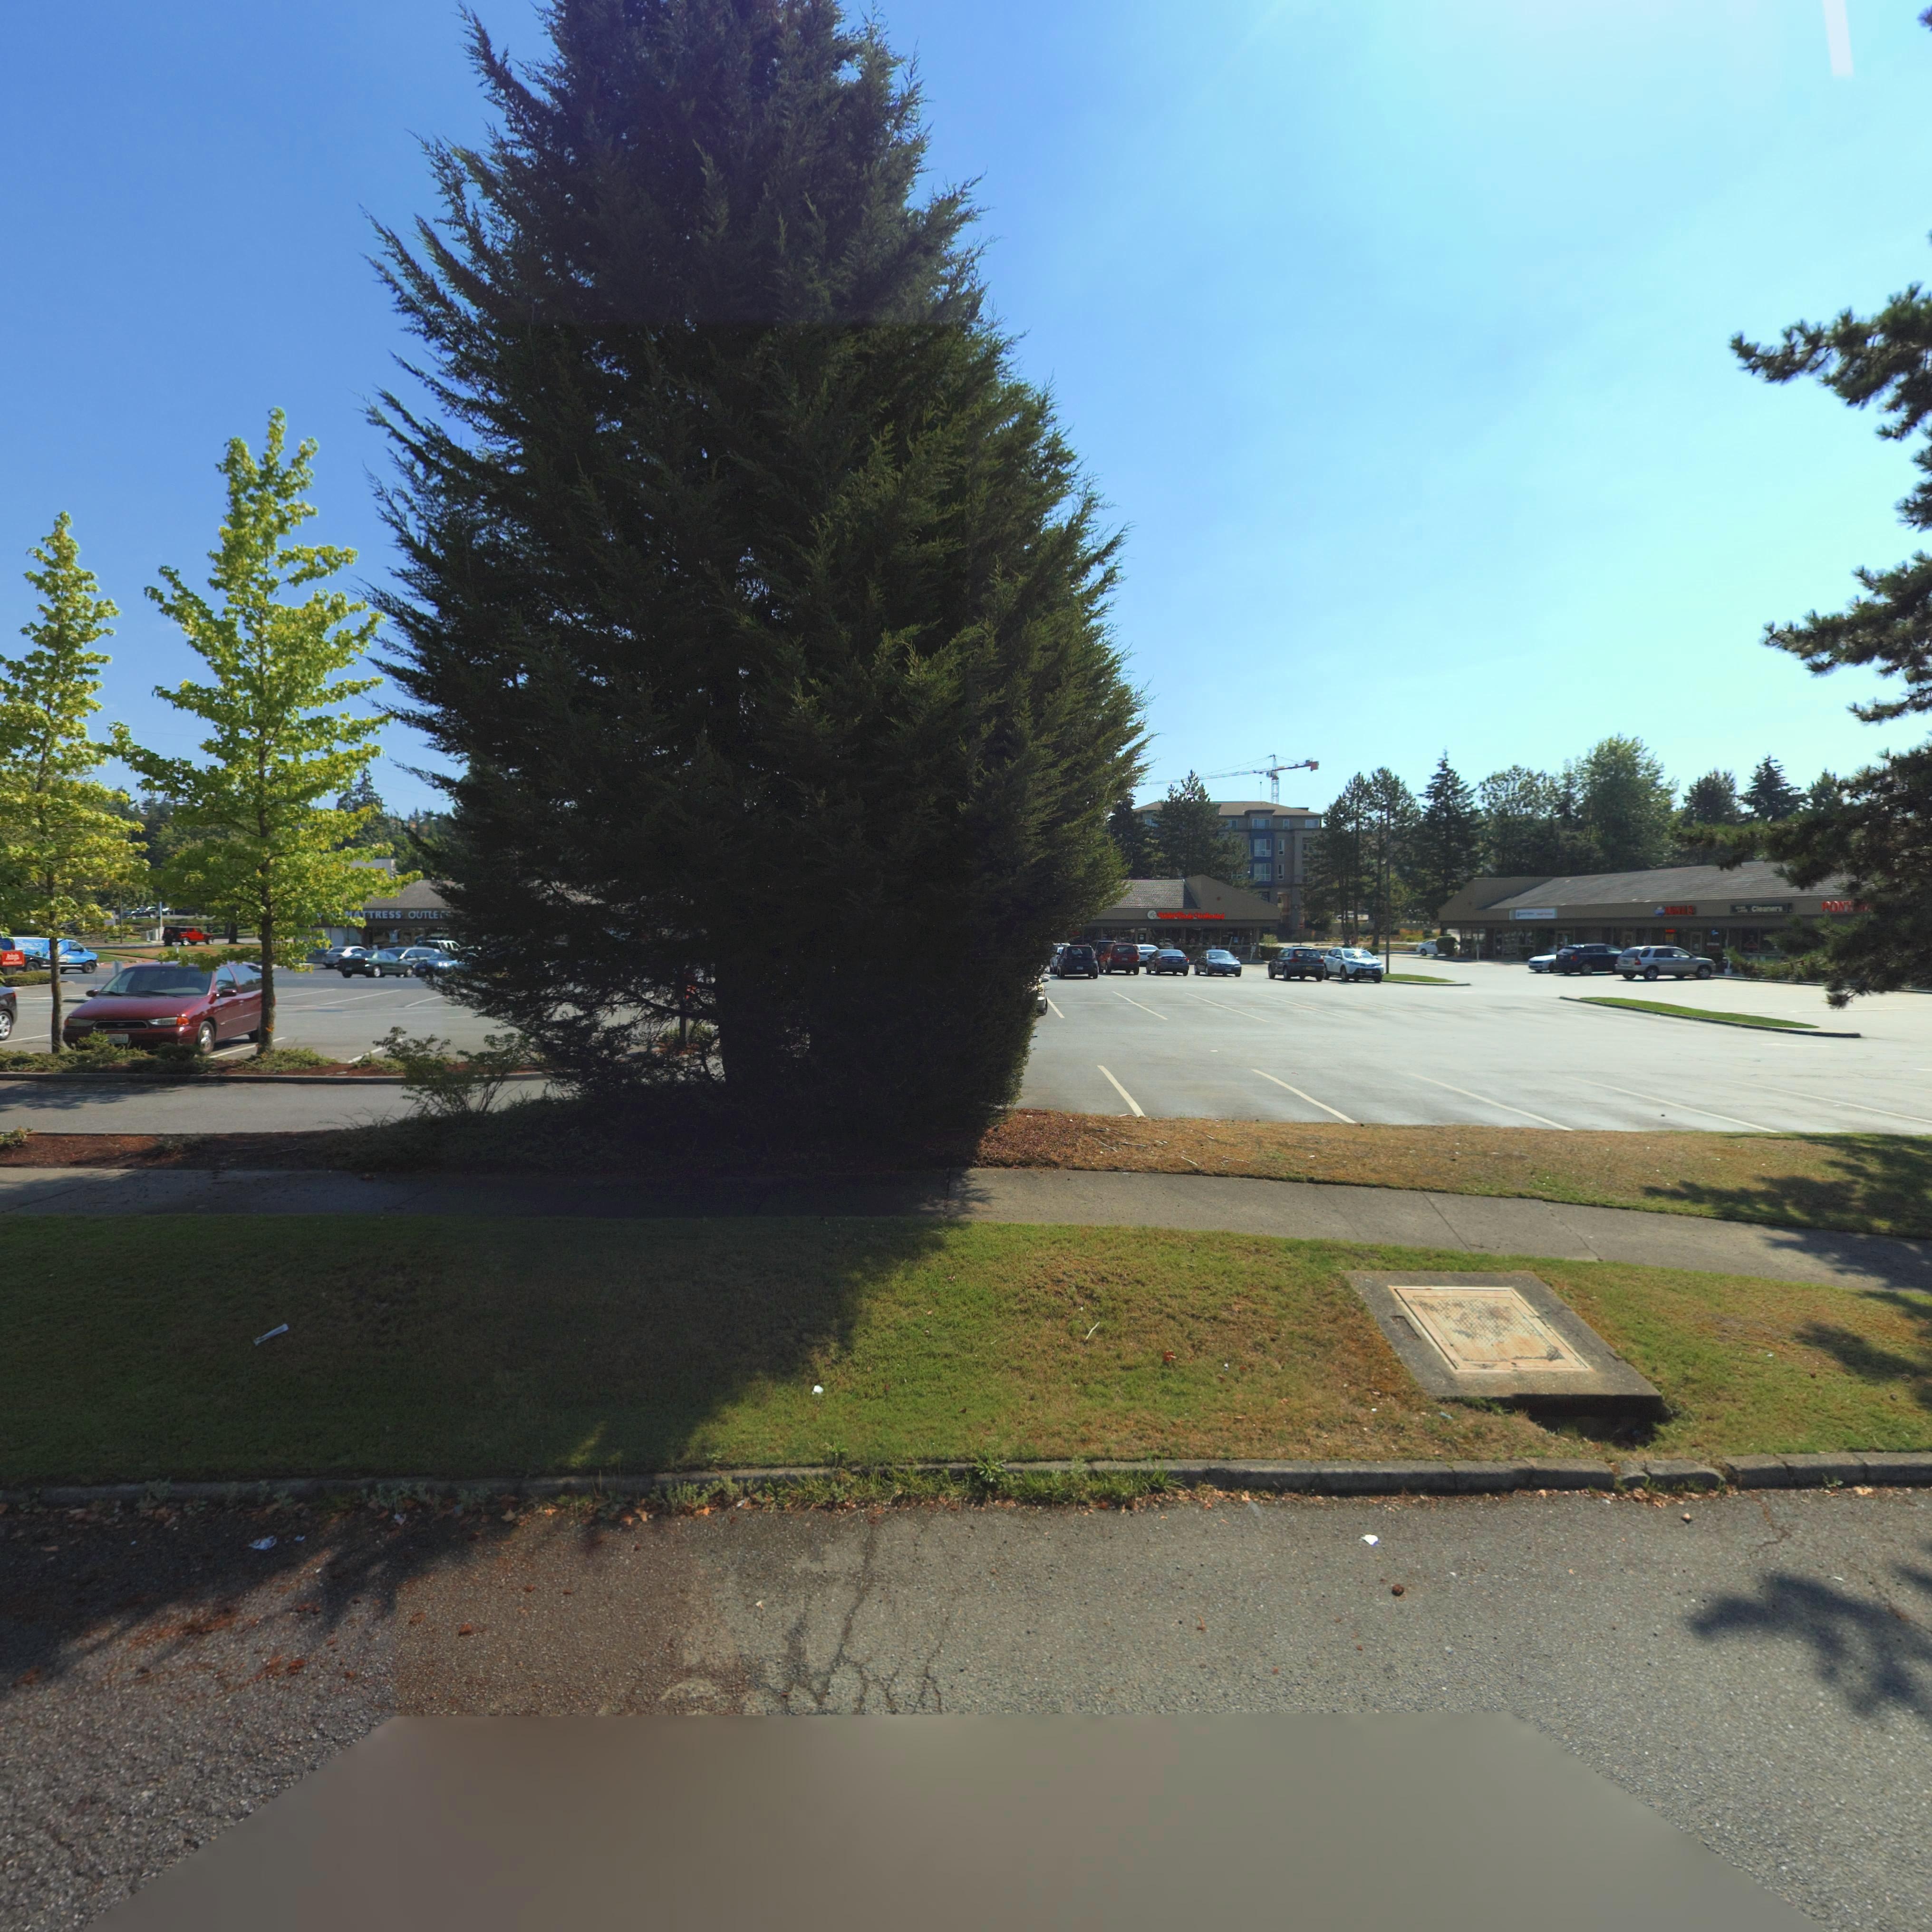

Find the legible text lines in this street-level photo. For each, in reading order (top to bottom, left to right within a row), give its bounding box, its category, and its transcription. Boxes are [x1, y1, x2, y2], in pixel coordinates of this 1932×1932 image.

[1775, 906, 1782, 911] BusinessName: *r
[1821, 901, 1867, 911] BusinessName: PON*
[348, 910, 451, 918] BusinessName: ***TRESS OUTLE*